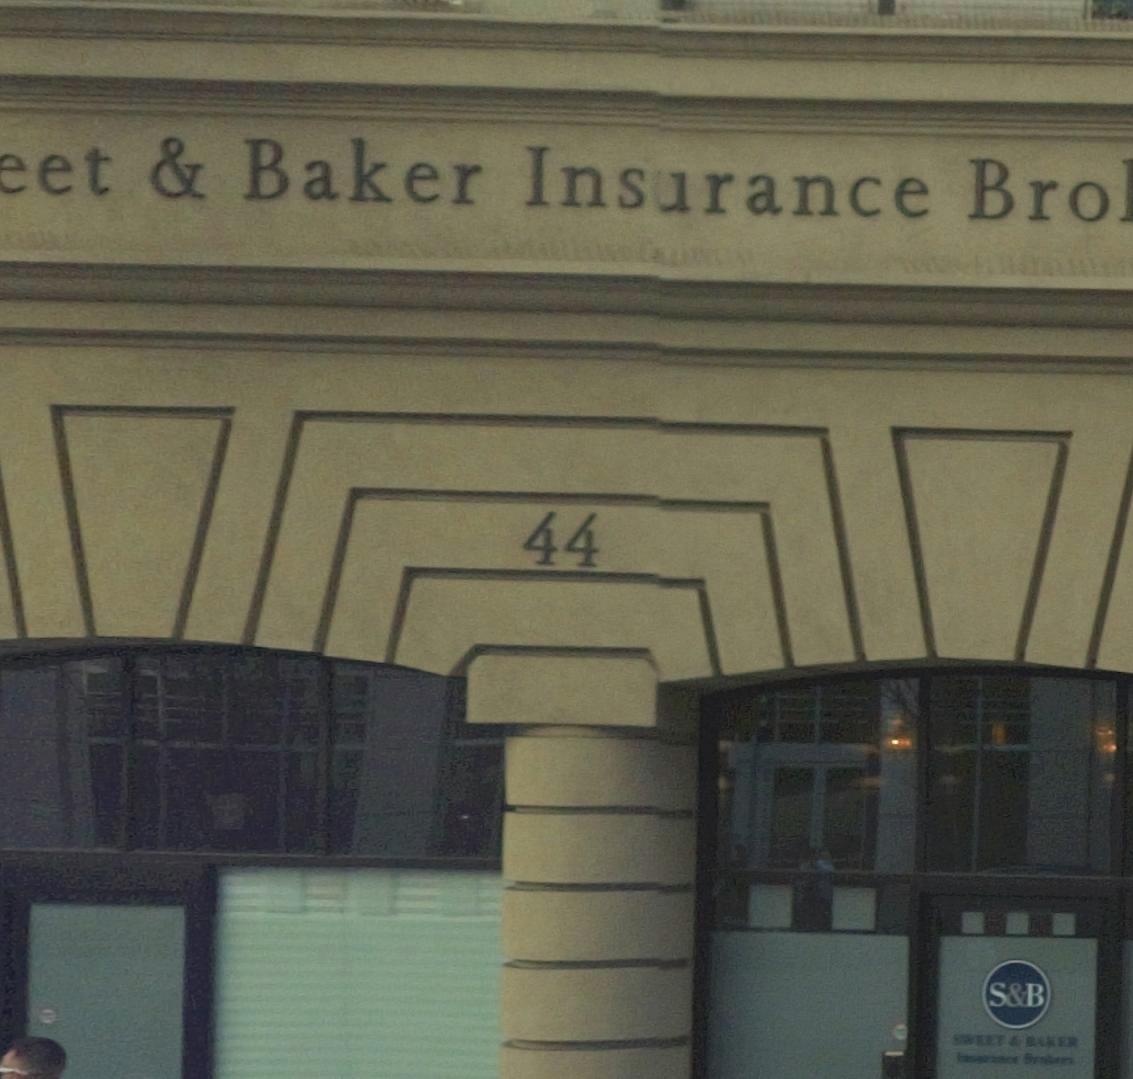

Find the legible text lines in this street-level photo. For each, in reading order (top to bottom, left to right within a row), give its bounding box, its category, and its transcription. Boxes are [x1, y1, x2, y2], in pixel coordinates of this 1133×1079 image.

[1, 132, 1116, 226] BusinessName: eet & Baker Insurance Bro
[519, 509, 603, 571] StreetNumber: 44
[988, 981, 1046, 1008] BusinessName: S&B
[950, 1033, 1079, 1049] BusinessName: SWEET & BAKER
[956, 1050, 1075, 1067] BusinessName: Insurance Brokers